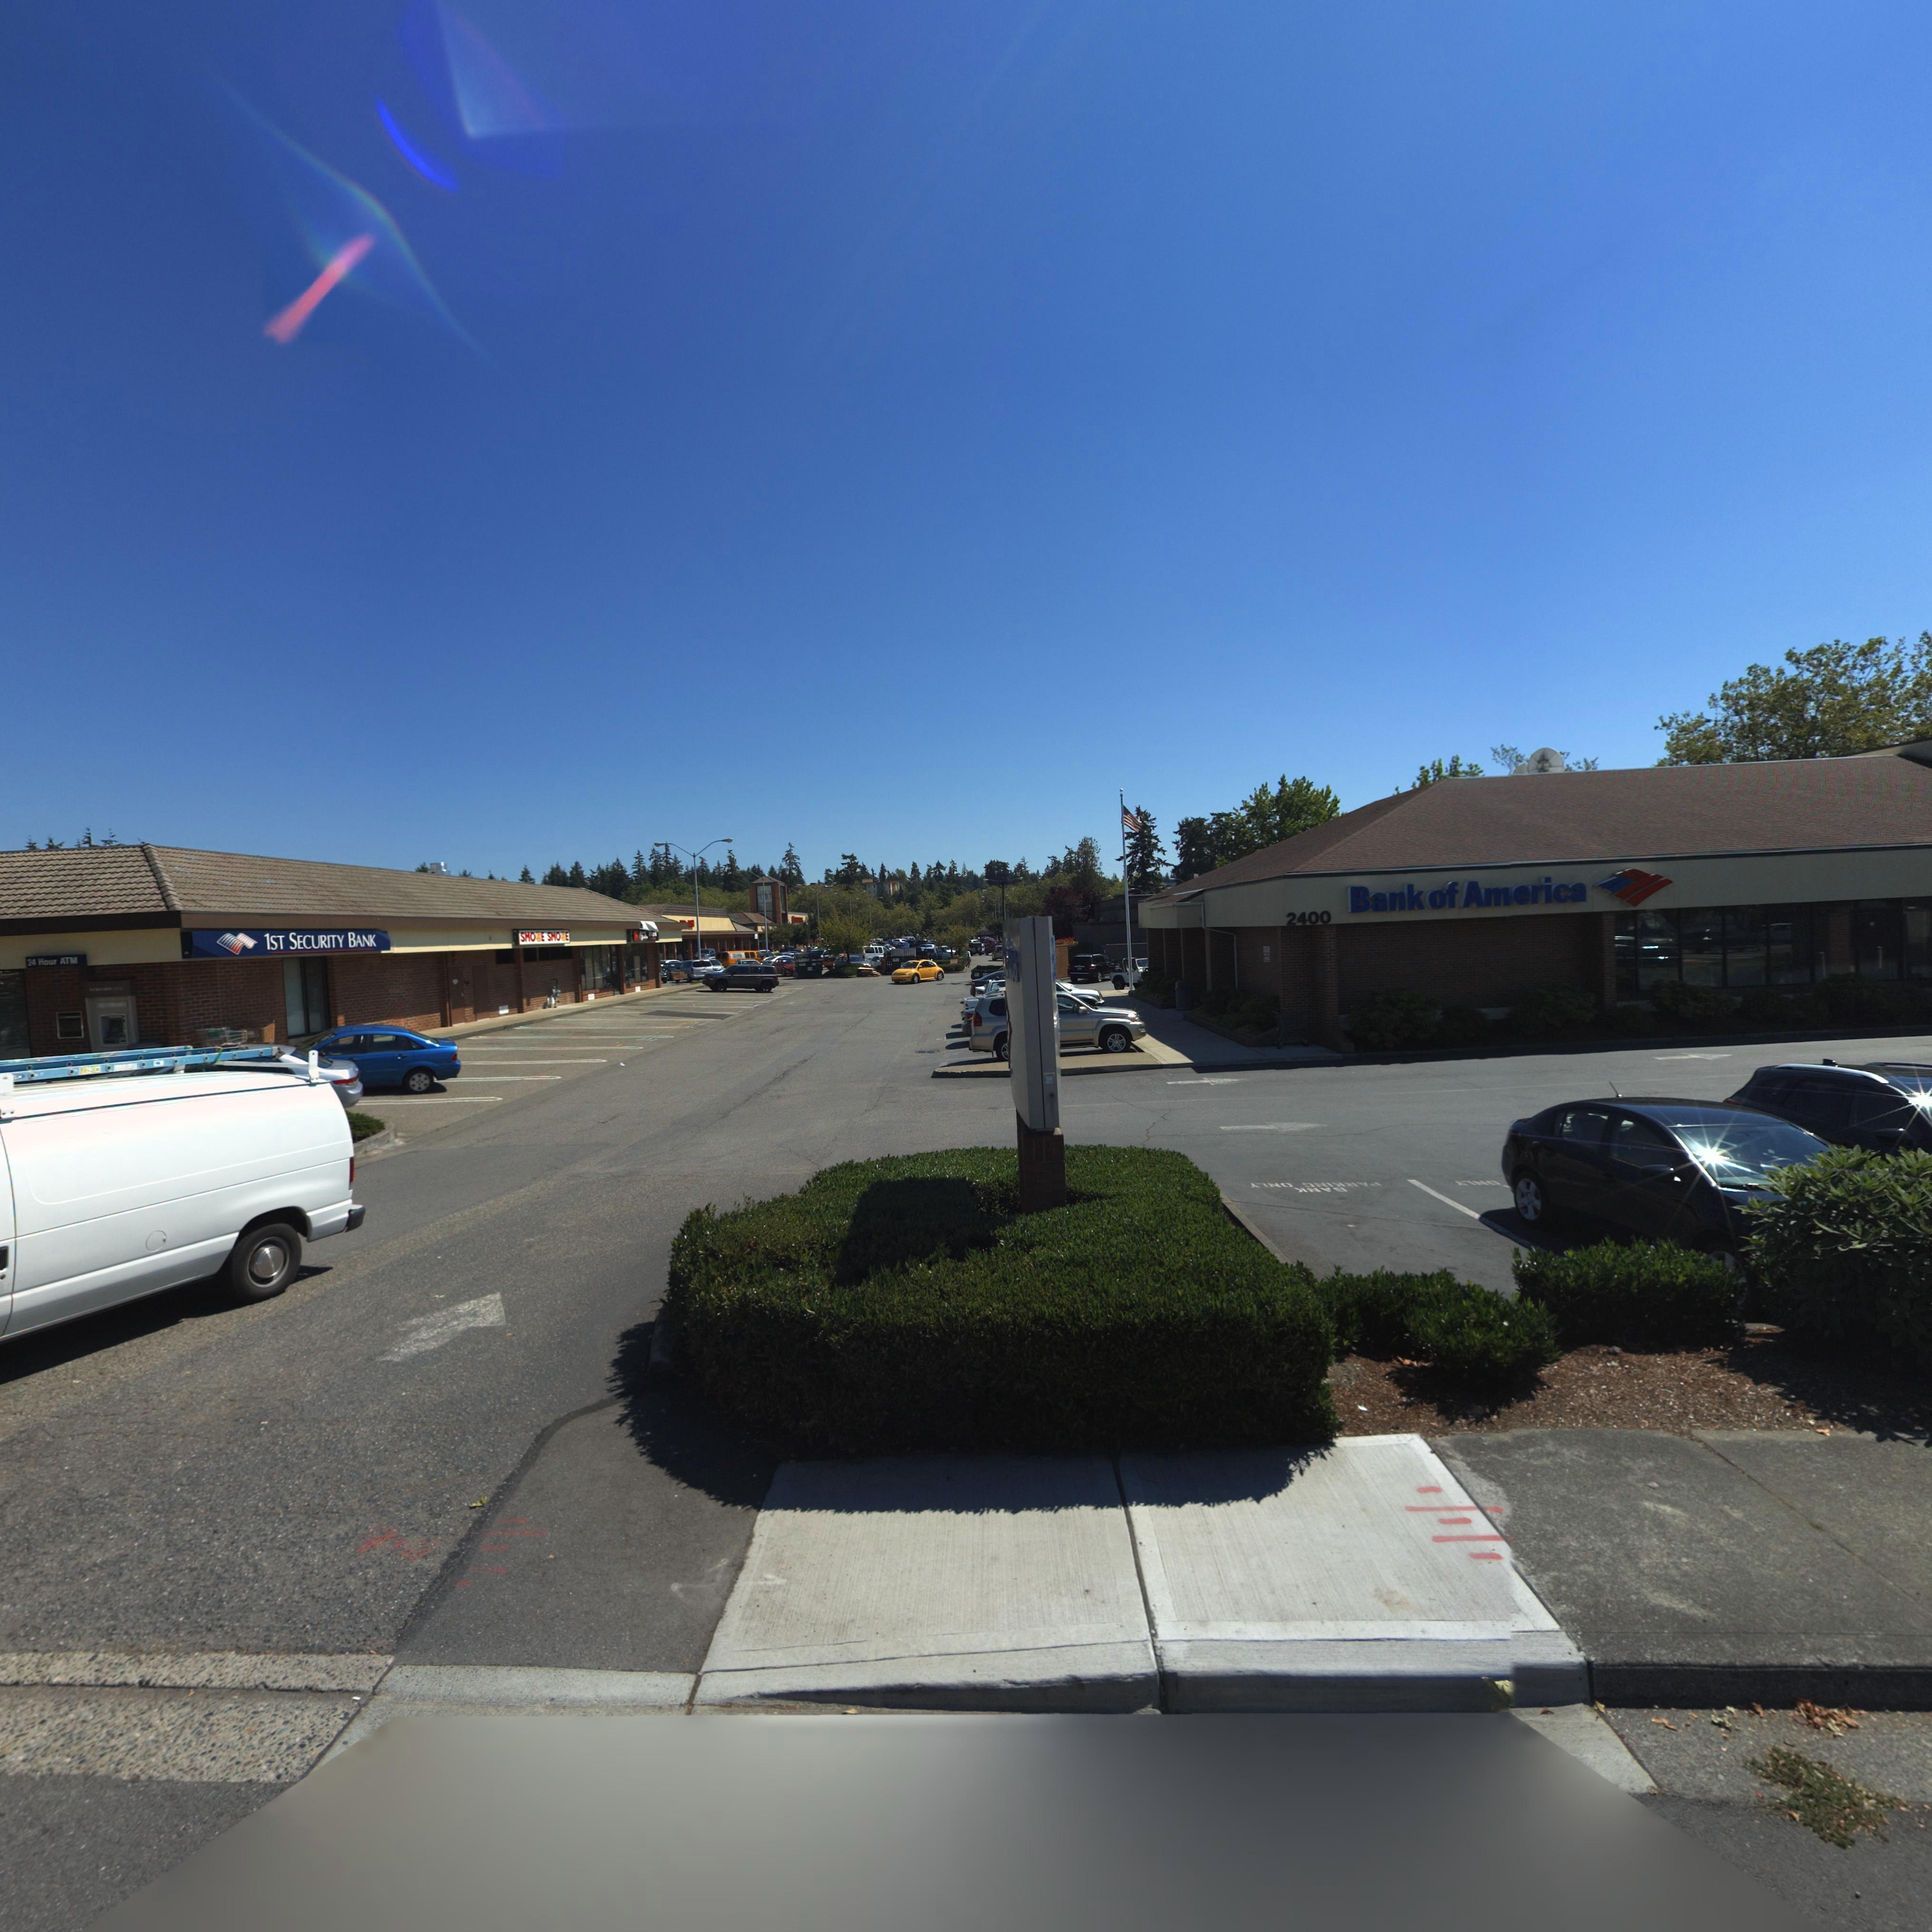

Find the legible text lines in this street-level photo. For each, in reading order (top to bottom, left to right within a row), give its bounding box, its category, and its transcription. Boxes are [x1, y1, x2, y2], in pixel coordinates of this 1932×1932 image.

[1347, 874, 1587, 913] BusinessName: Bank of America
[1287, 911, 1331, 925] StreetNumber: 2400
[262, 931, 377, 949] BusinessName: 1ST SECURITY BANK
[520, 931, 569, 942] BusinessName: SMO*E SMO*E